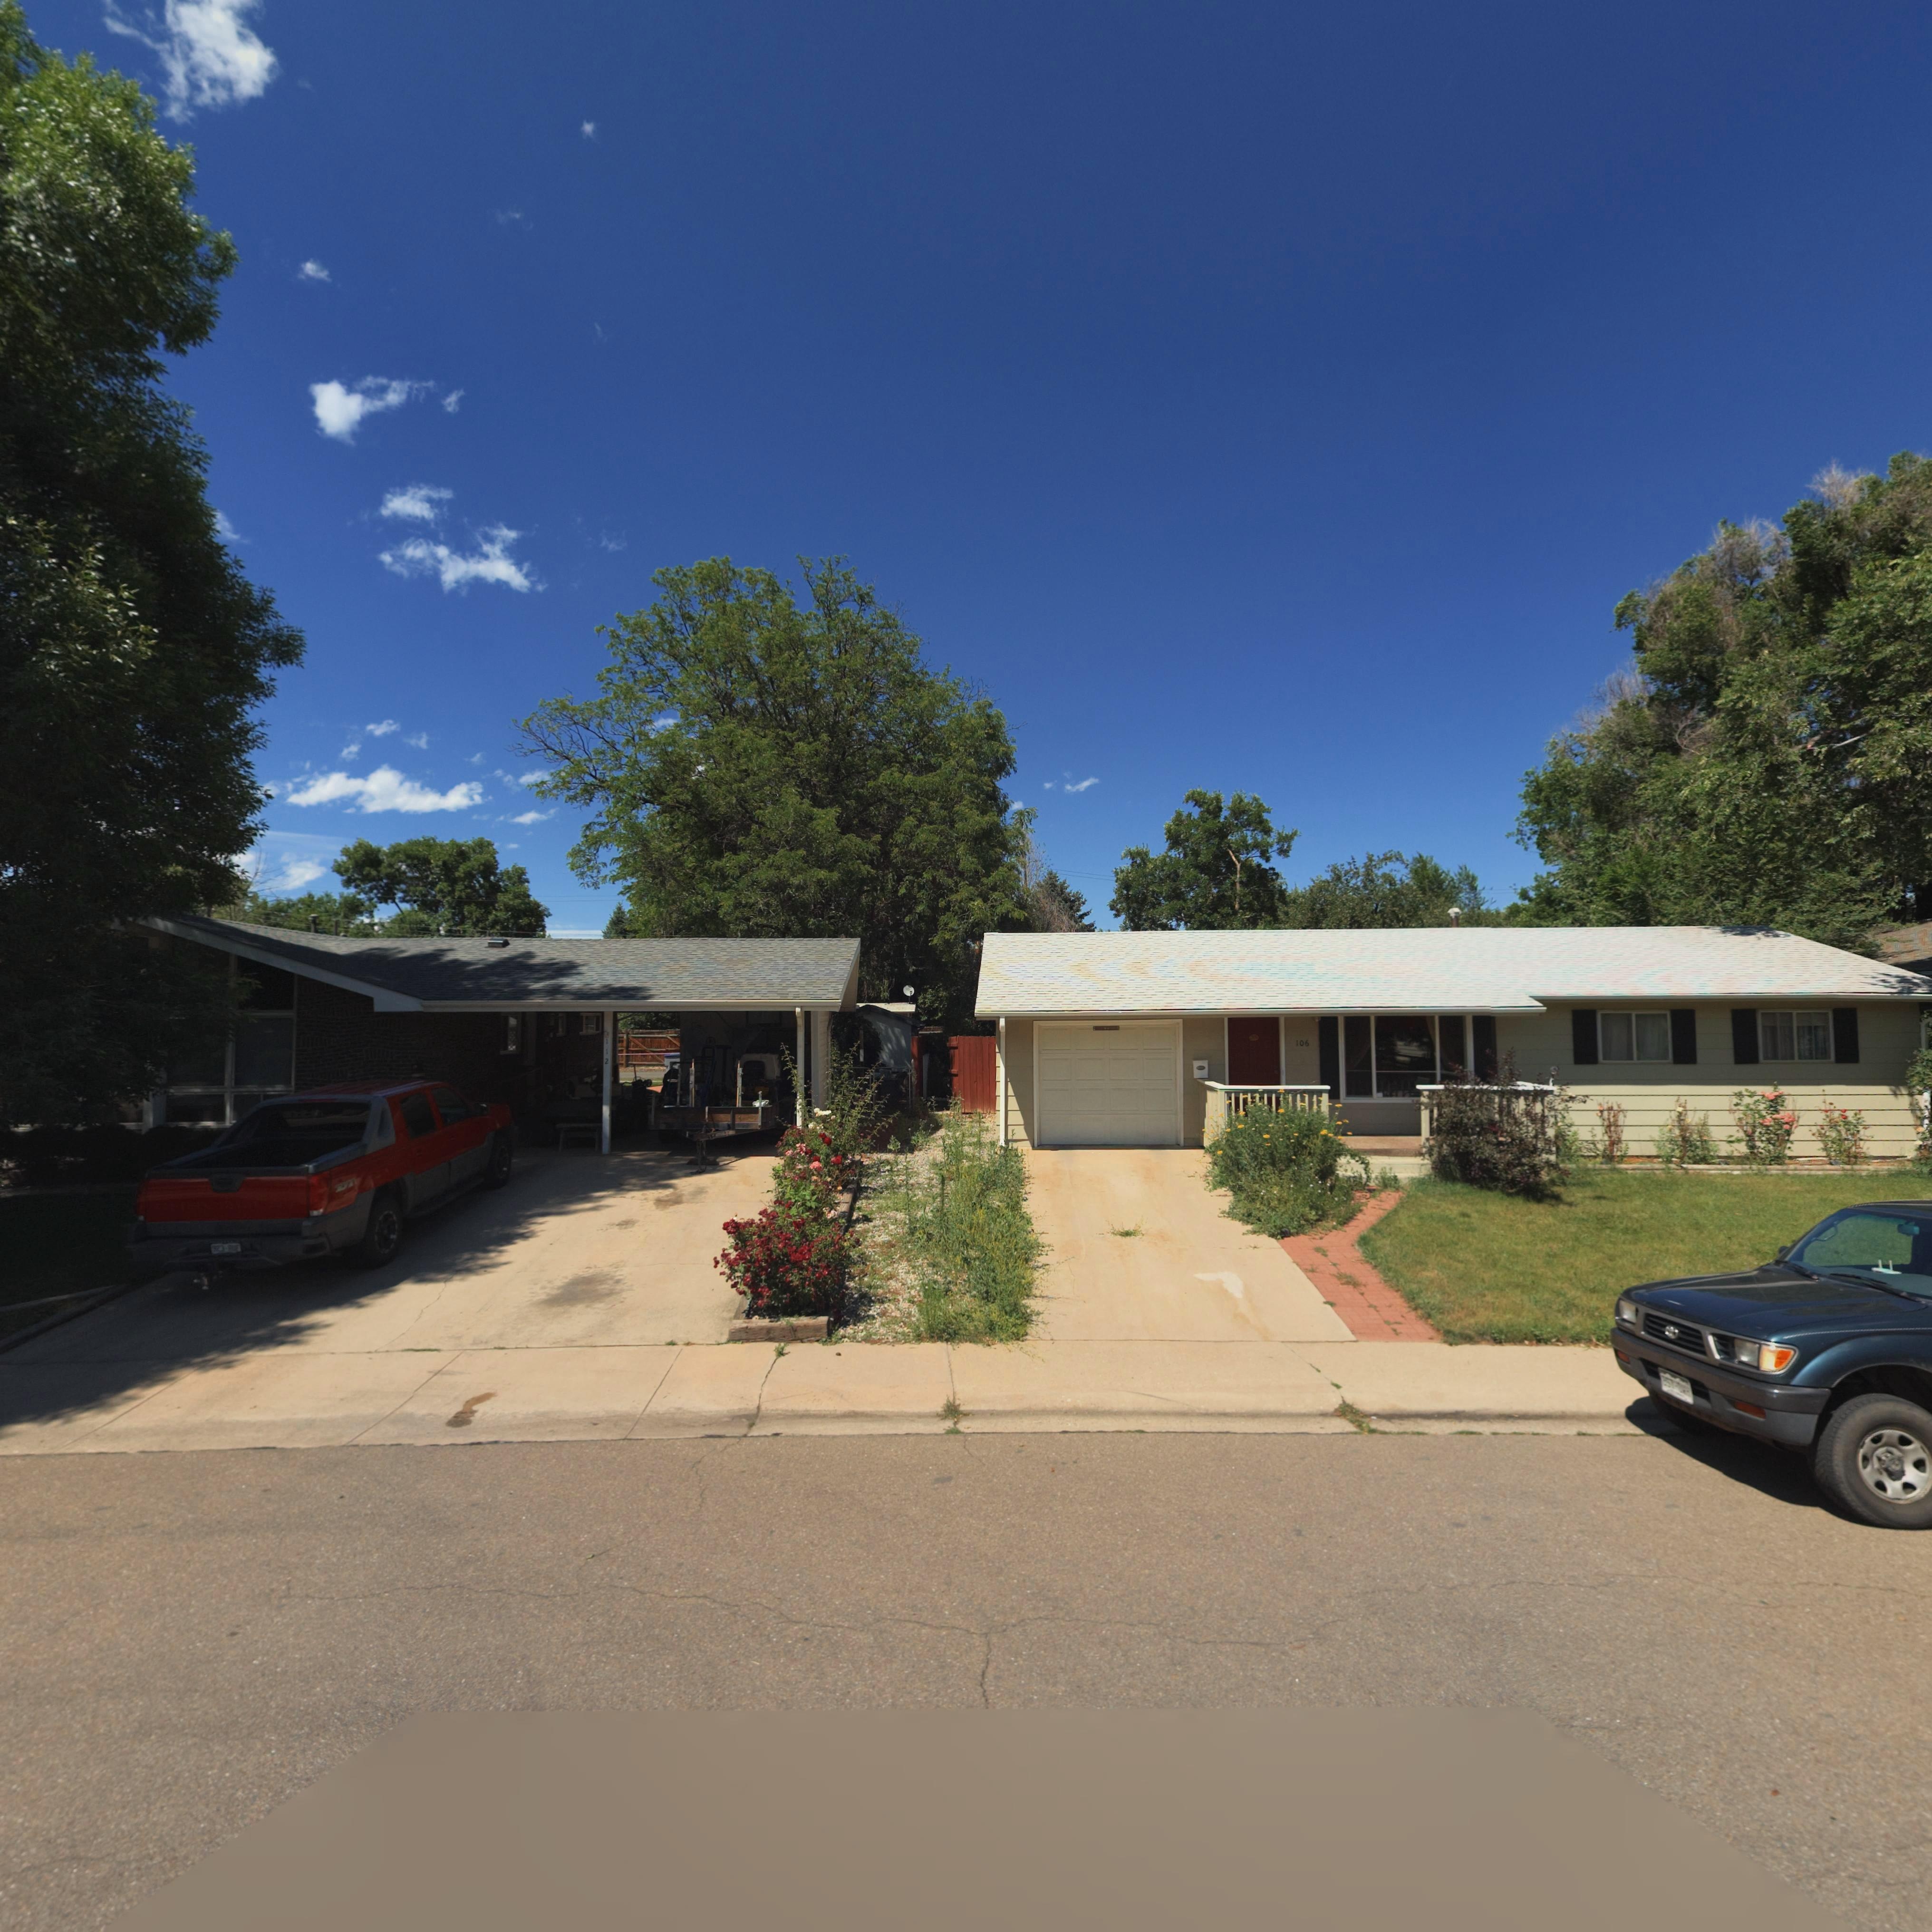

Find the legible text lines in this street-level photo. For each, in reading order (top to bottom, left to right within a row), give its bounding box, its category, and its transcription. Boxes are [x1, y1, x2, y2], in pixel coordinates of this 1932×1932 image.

[604, 1037, 609, 1065] StreetNumber: 112
[1296, 1039, 1309, 1047] StreetNumber: 106